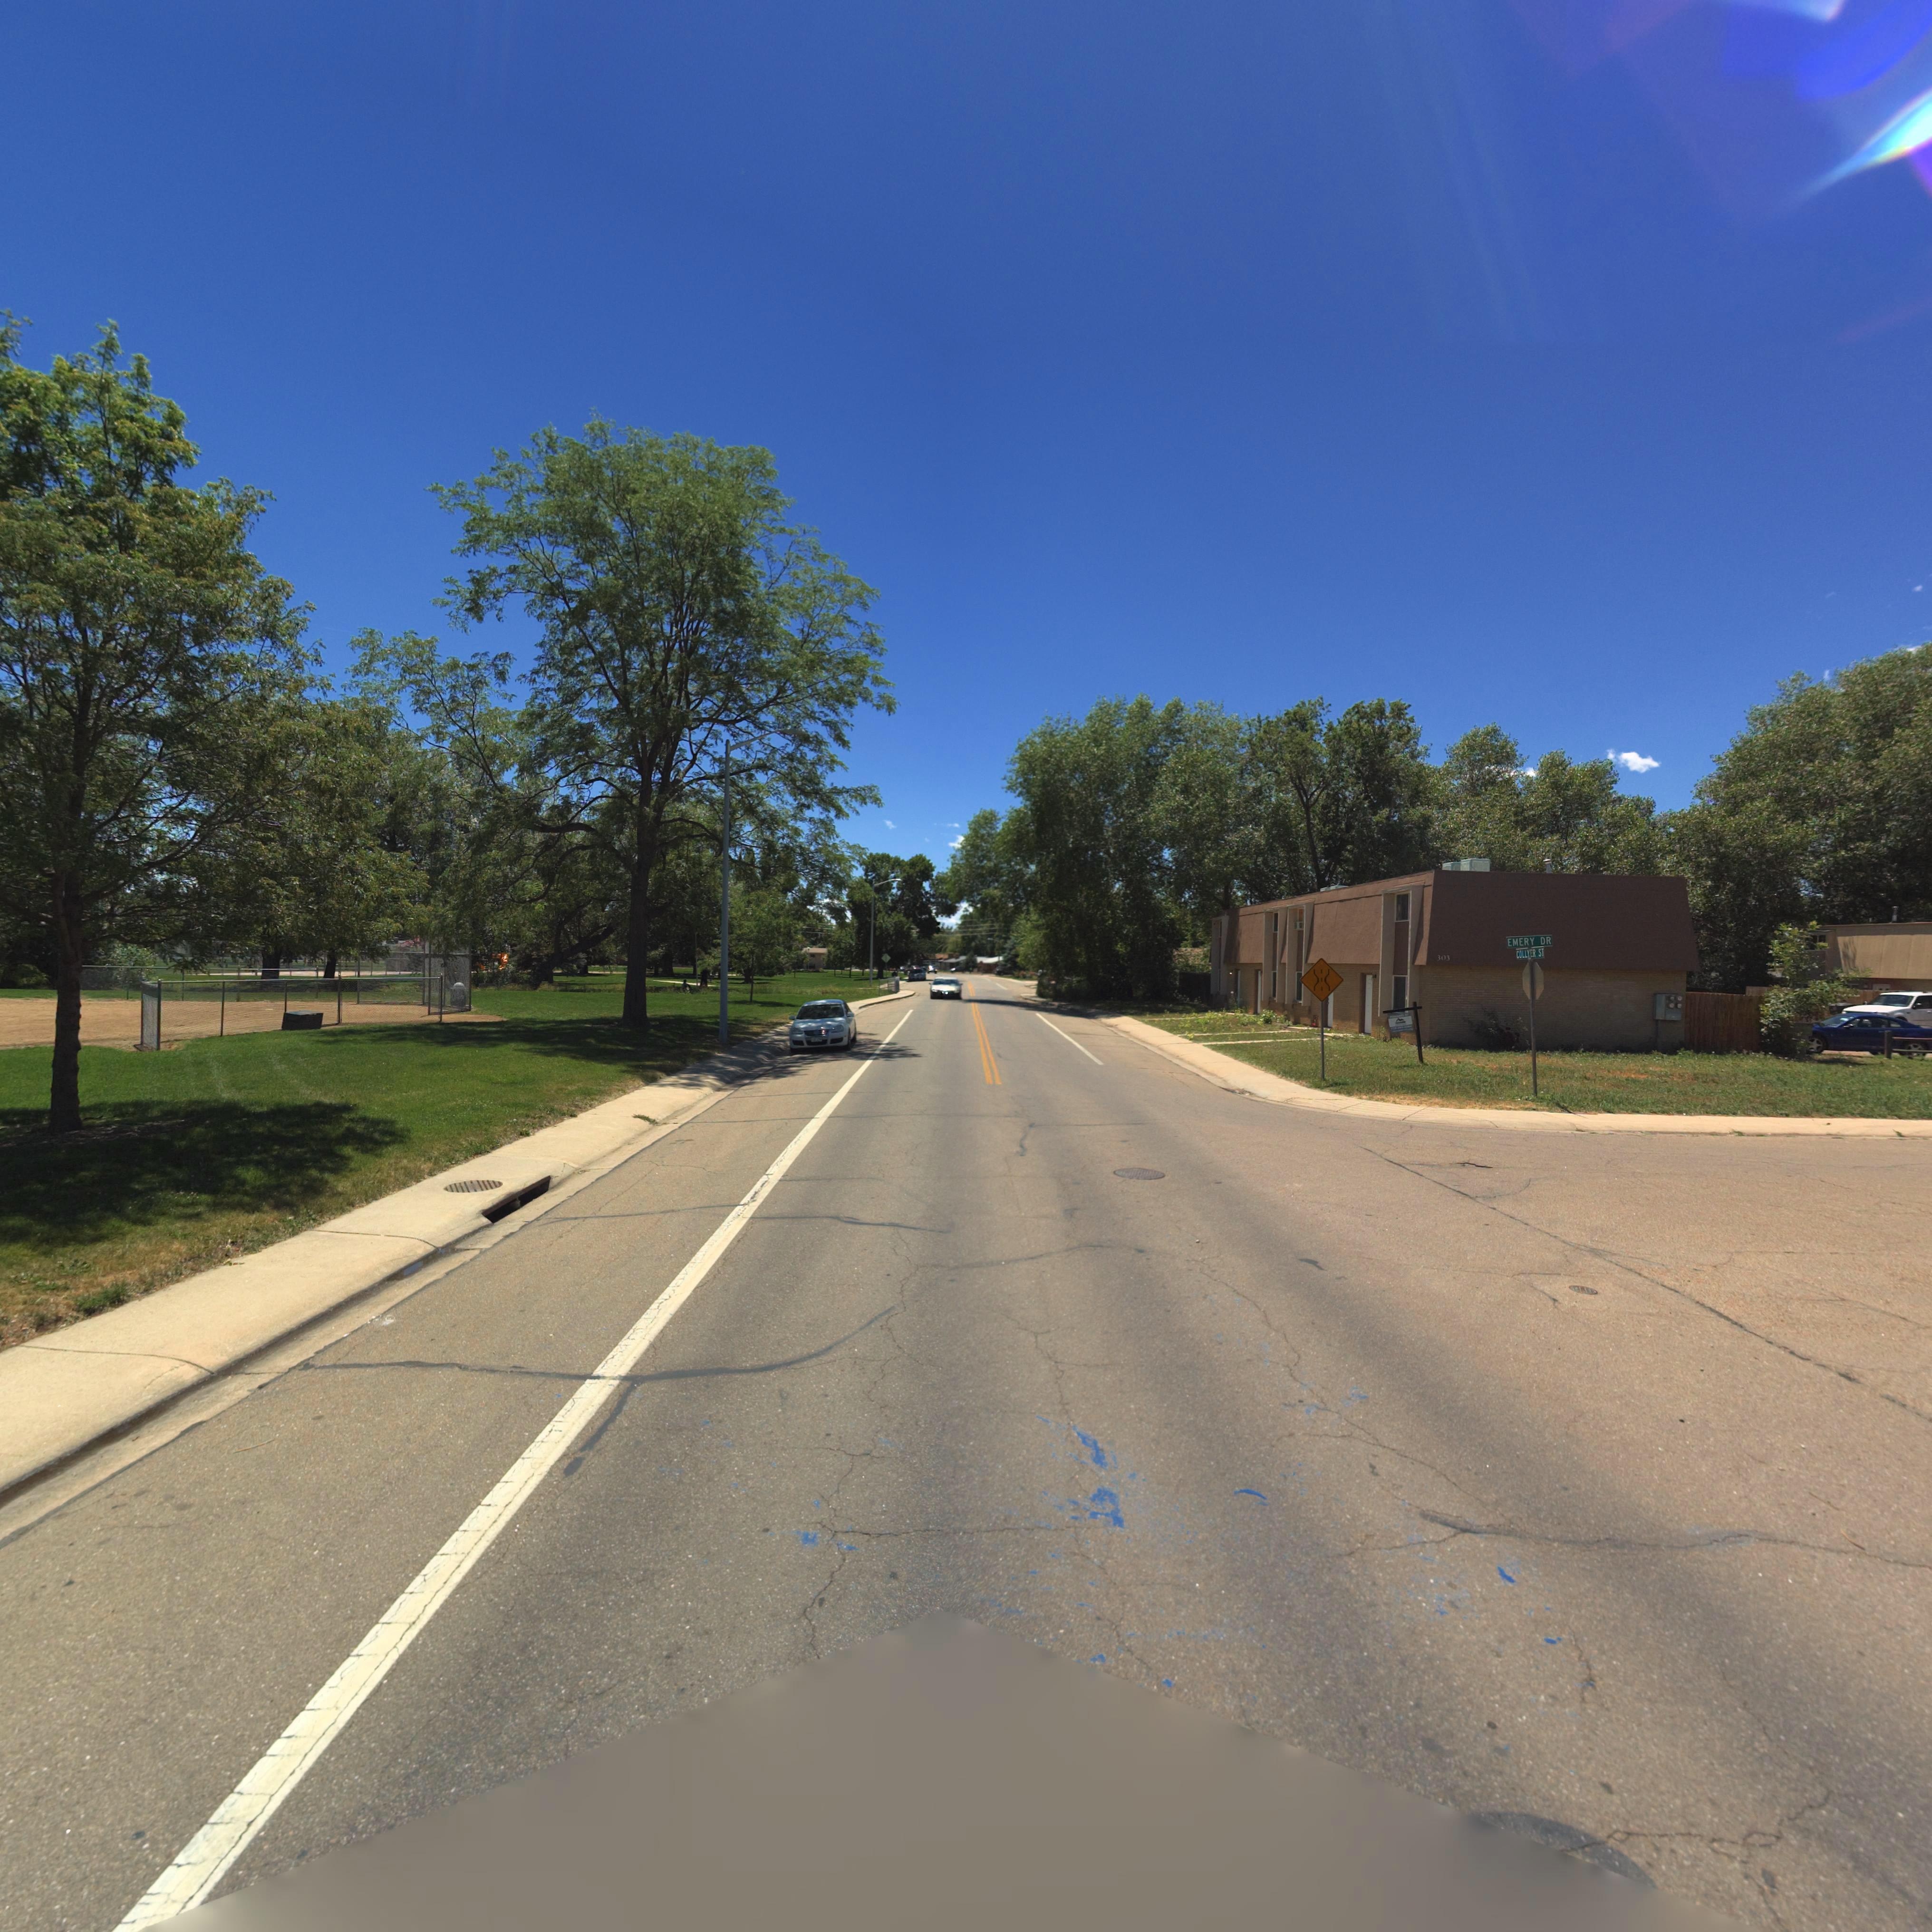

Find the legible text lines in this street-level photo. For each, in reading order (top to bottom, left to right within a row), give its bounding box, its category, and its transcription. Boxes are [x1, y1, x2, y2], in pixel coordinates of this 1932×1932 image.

[1507, 936, 1551, 947] StreetName: EMERY DR
[1437, 954, 1451, 961] StreetNumber: 303
[1516, 948, 1544, 958] StreetName: COLLYER ST